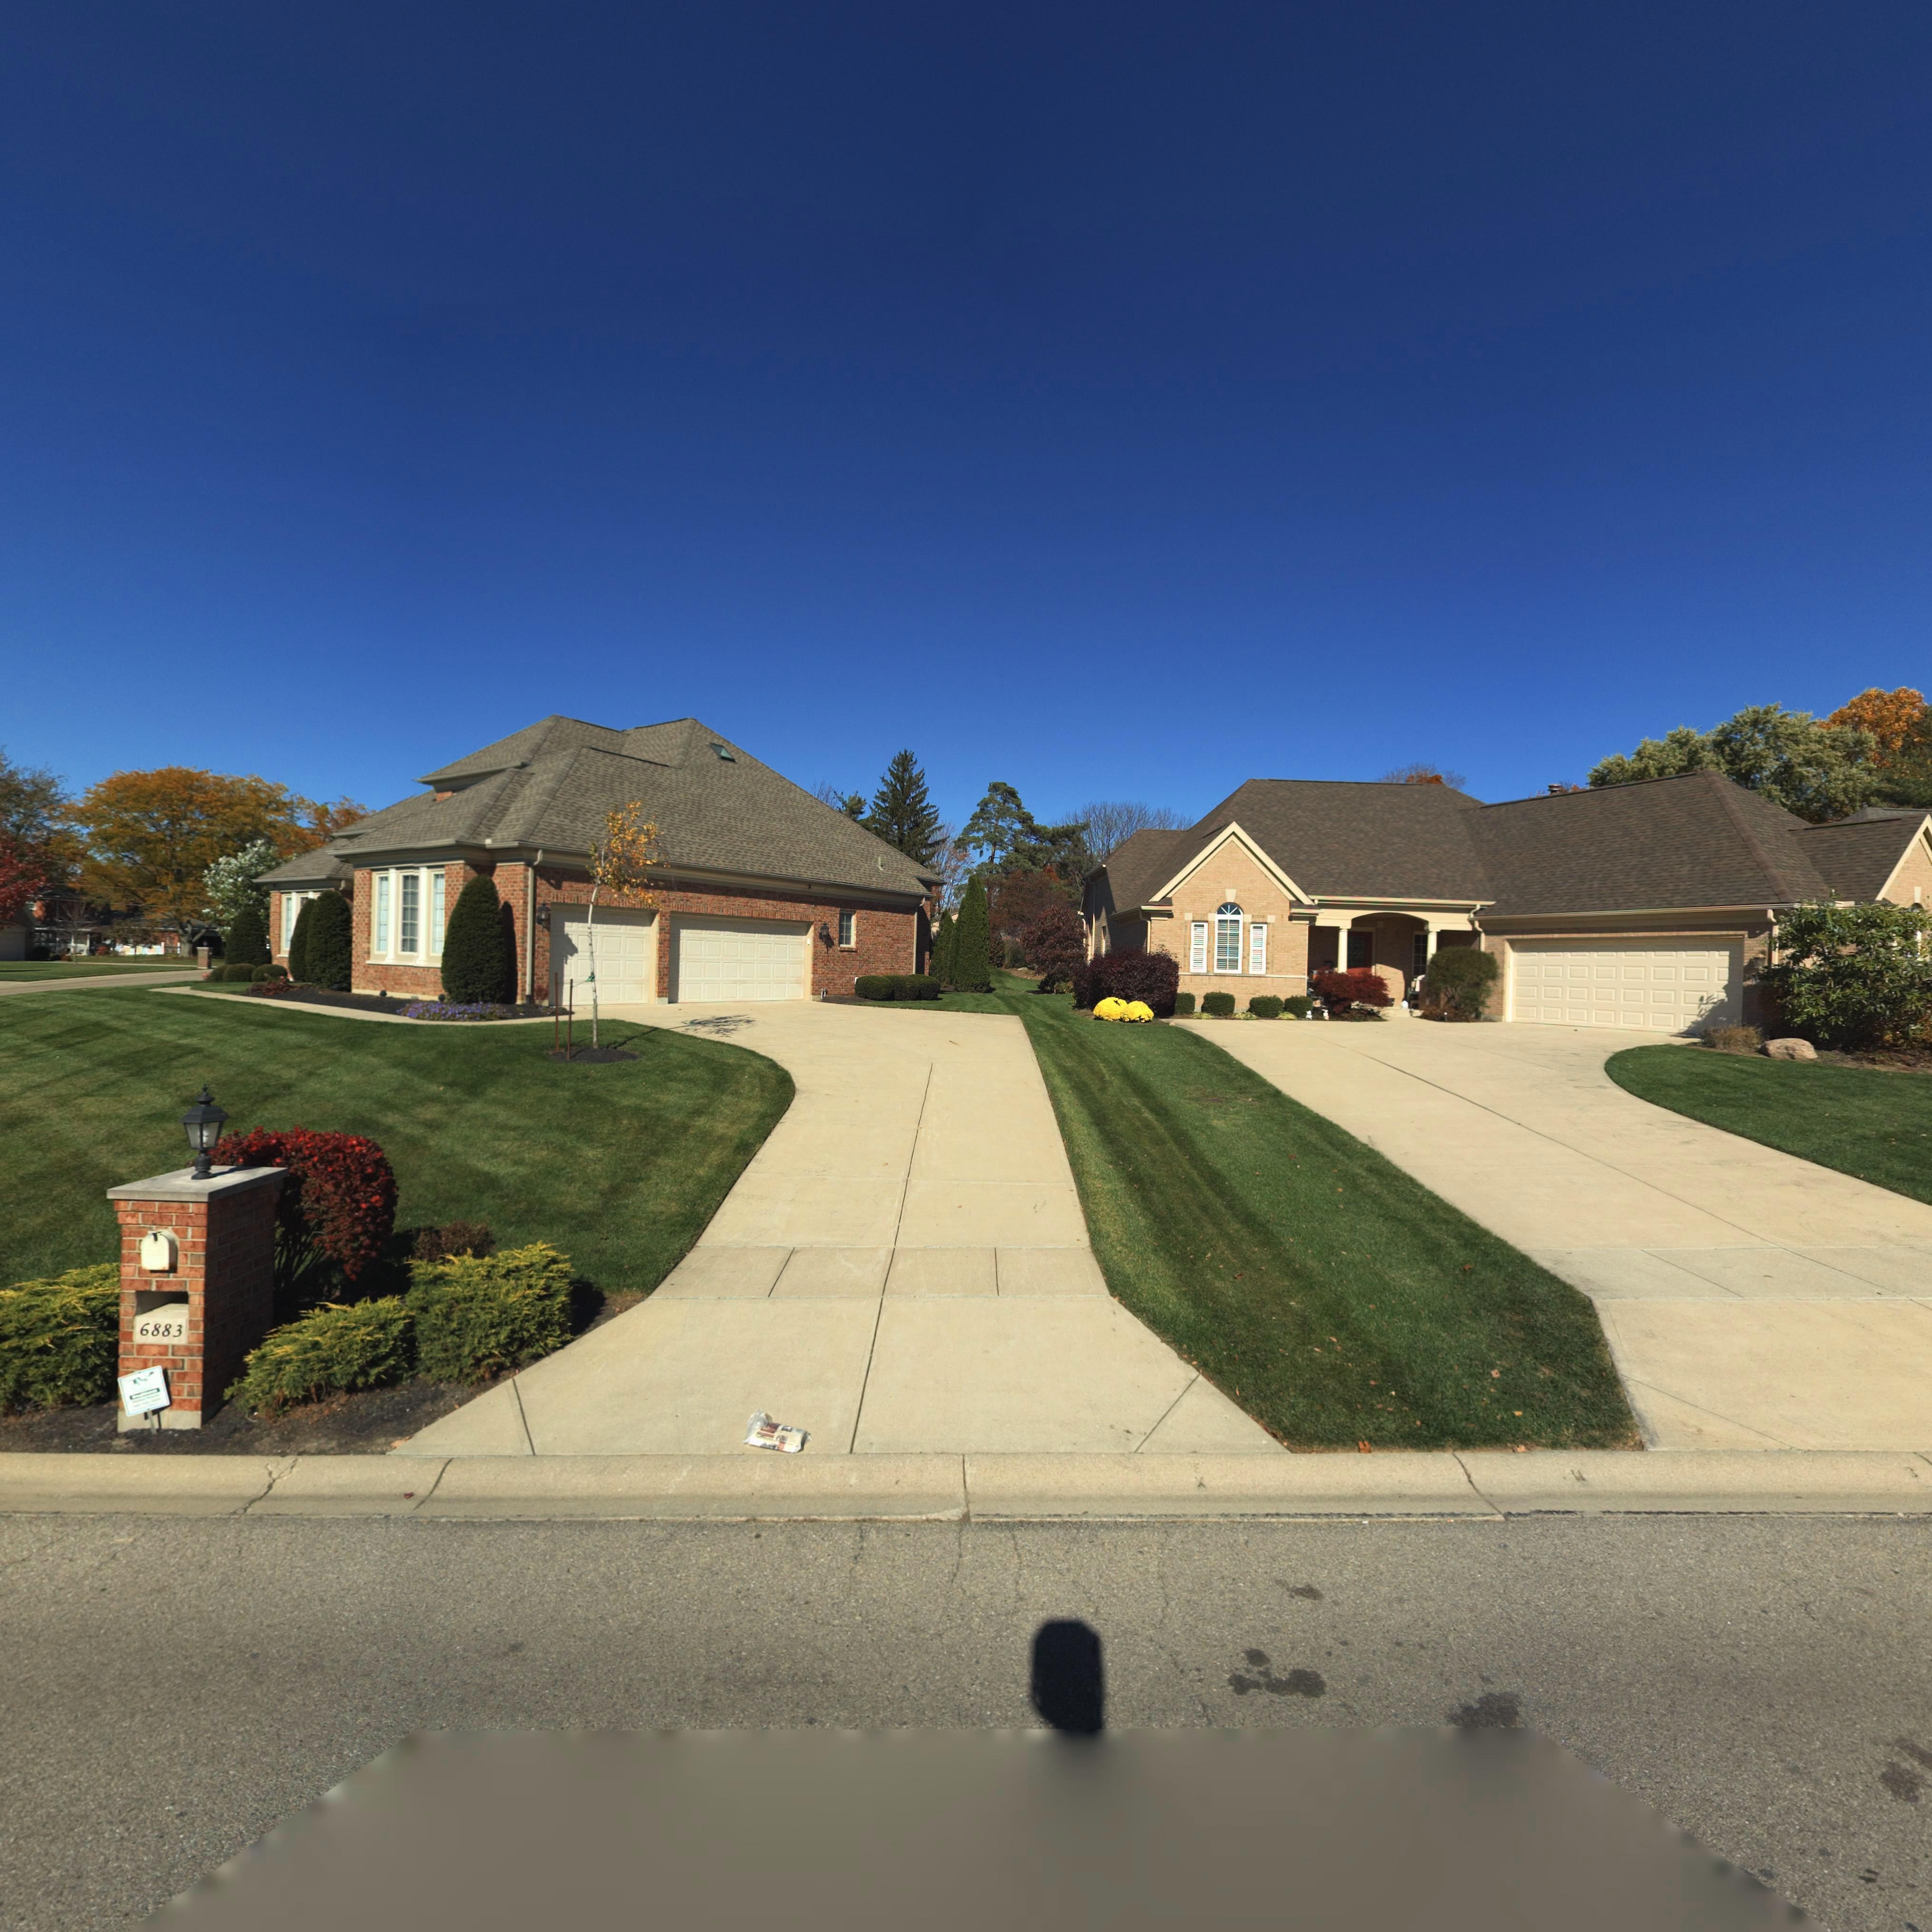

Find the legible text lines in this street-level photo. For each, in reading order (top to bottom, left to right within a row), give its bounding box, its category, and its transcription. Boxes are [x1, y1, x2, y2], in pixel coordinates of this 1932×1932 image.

[138, 1322, 184, 1339] StreetNumber: 6883